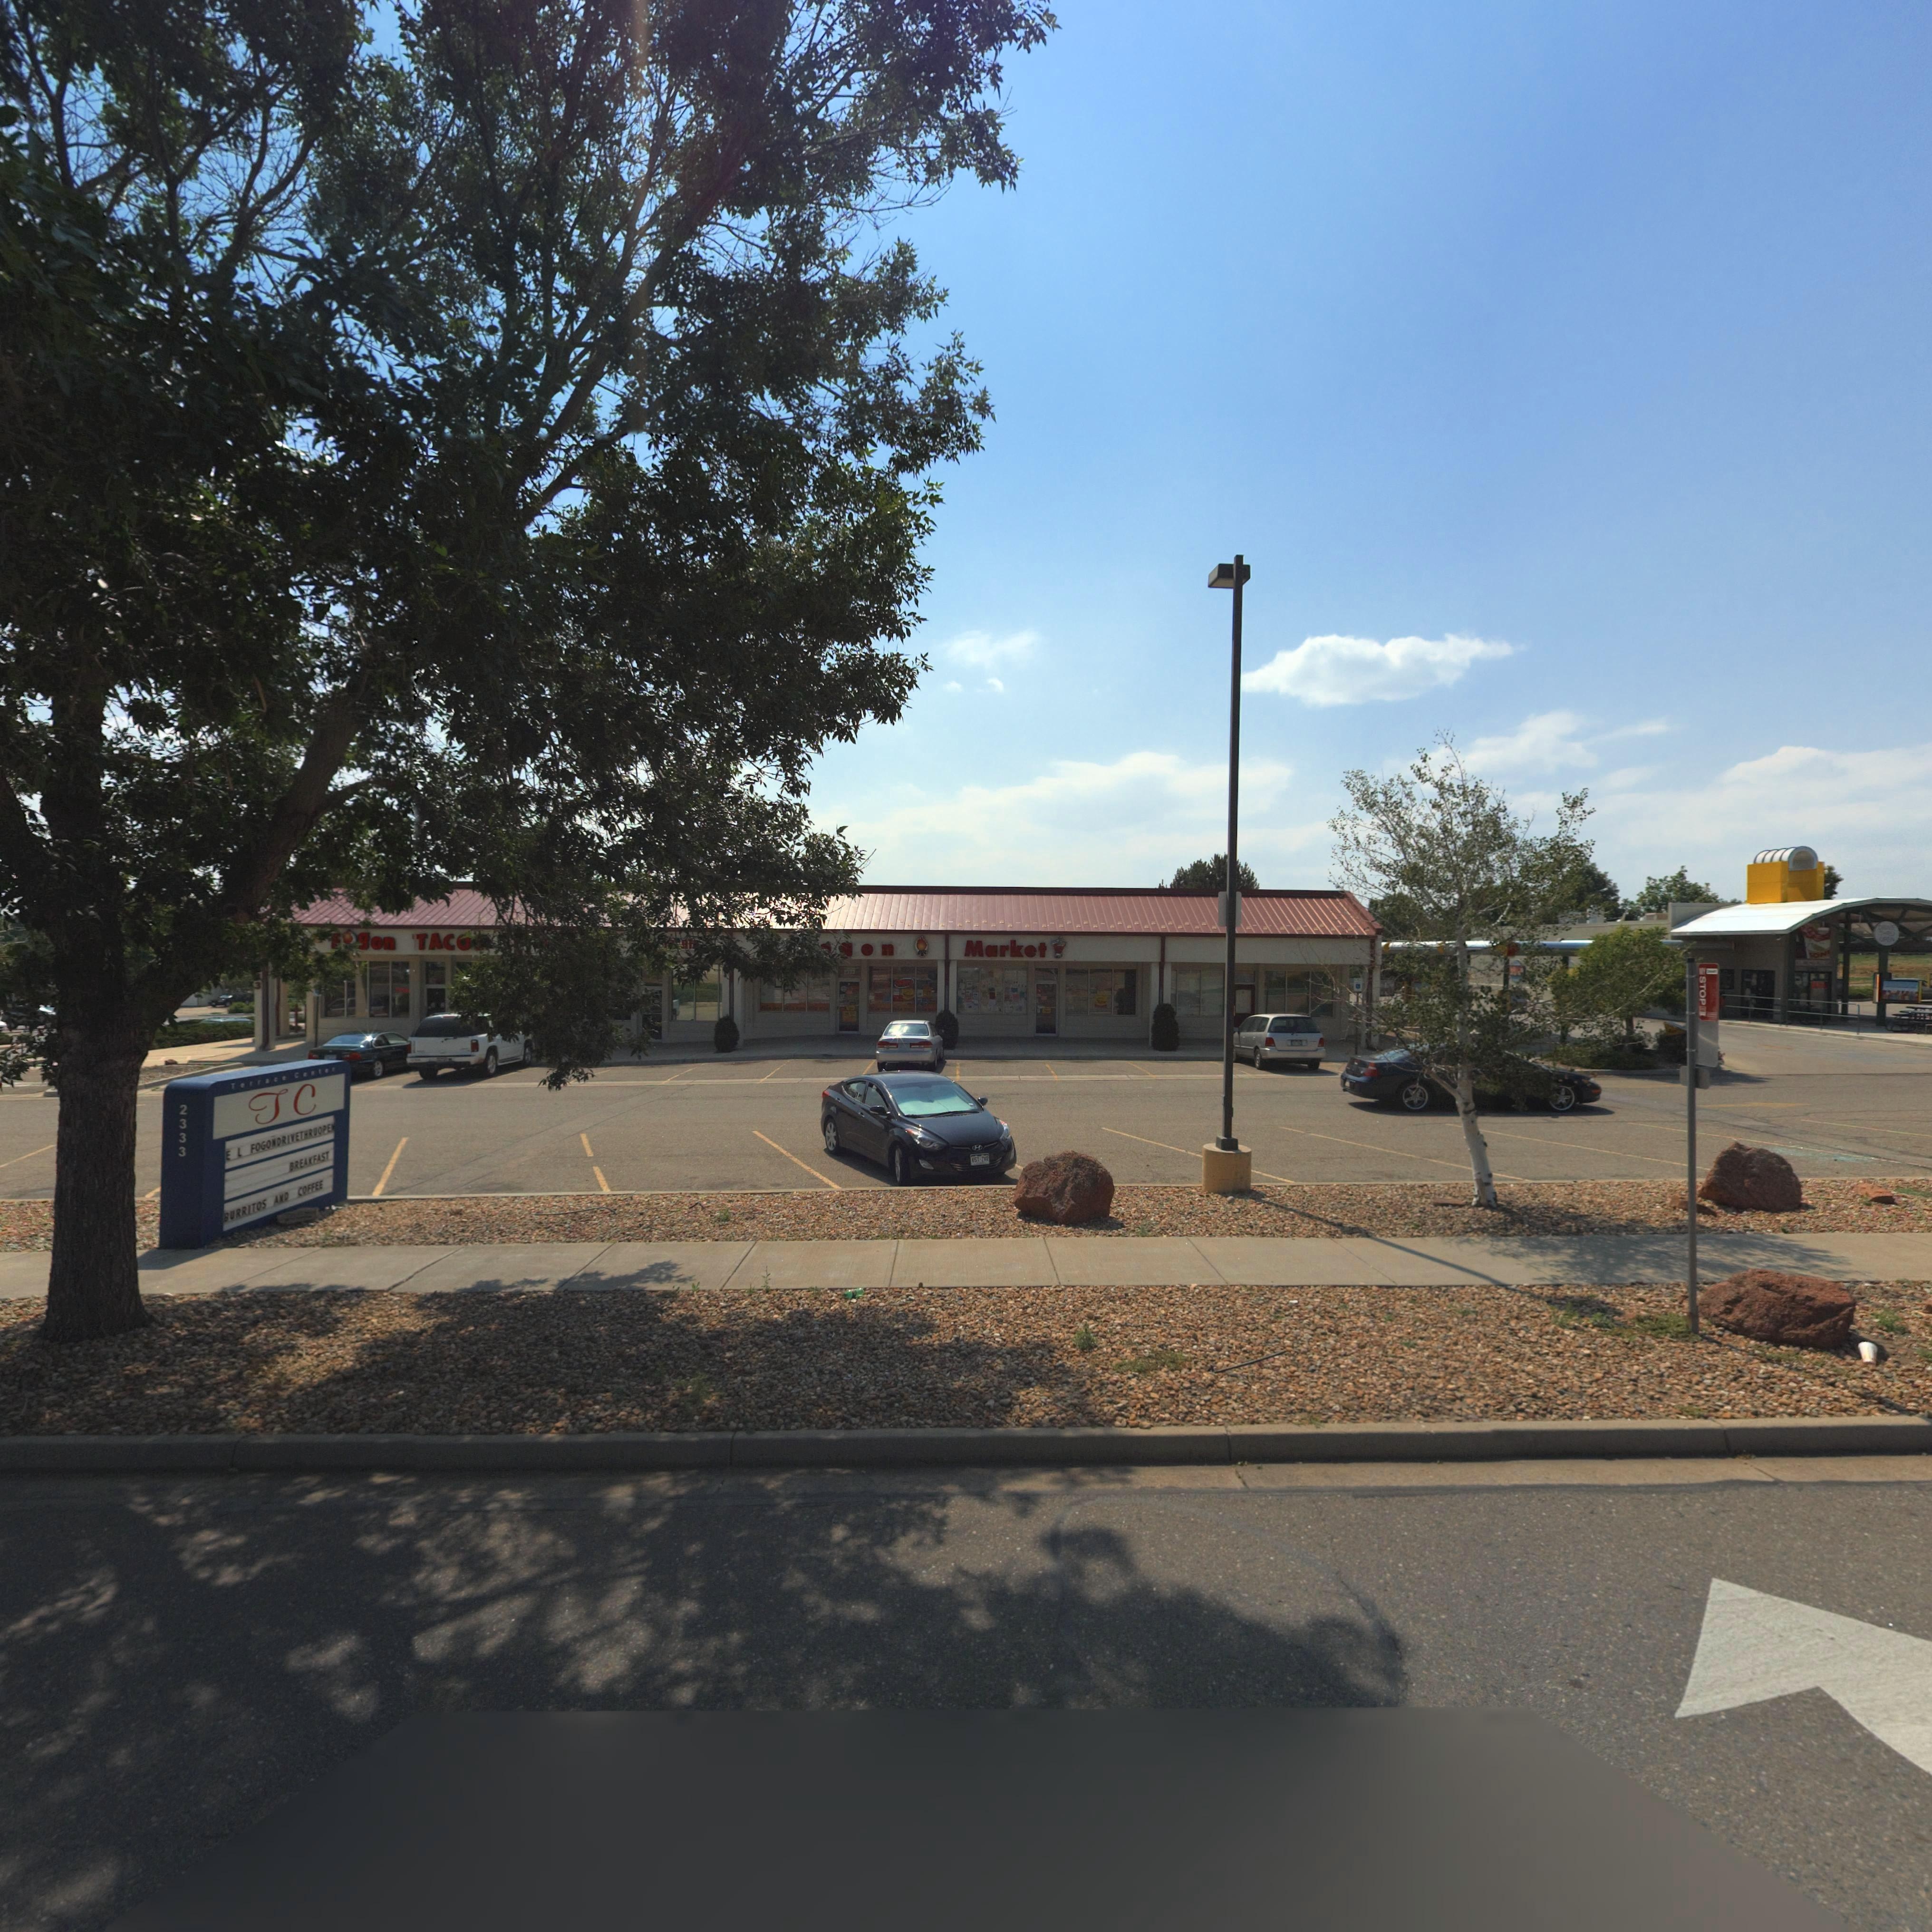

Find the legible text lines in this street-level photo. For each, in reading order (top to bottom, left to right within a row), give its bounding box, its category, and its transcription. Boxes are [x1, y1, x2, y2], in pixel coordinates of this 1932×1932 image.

[329, 929, 485, 951] BusinessName: F*gon TACO*
[860, 943, 894, 956] BusinessName: on
[964, 939, 1047, 958] BusinessName: Market
[254, 981, 261, 990] StreetNumber: 3
[177, 1103, 188, 1157] StreetNumber: 2333